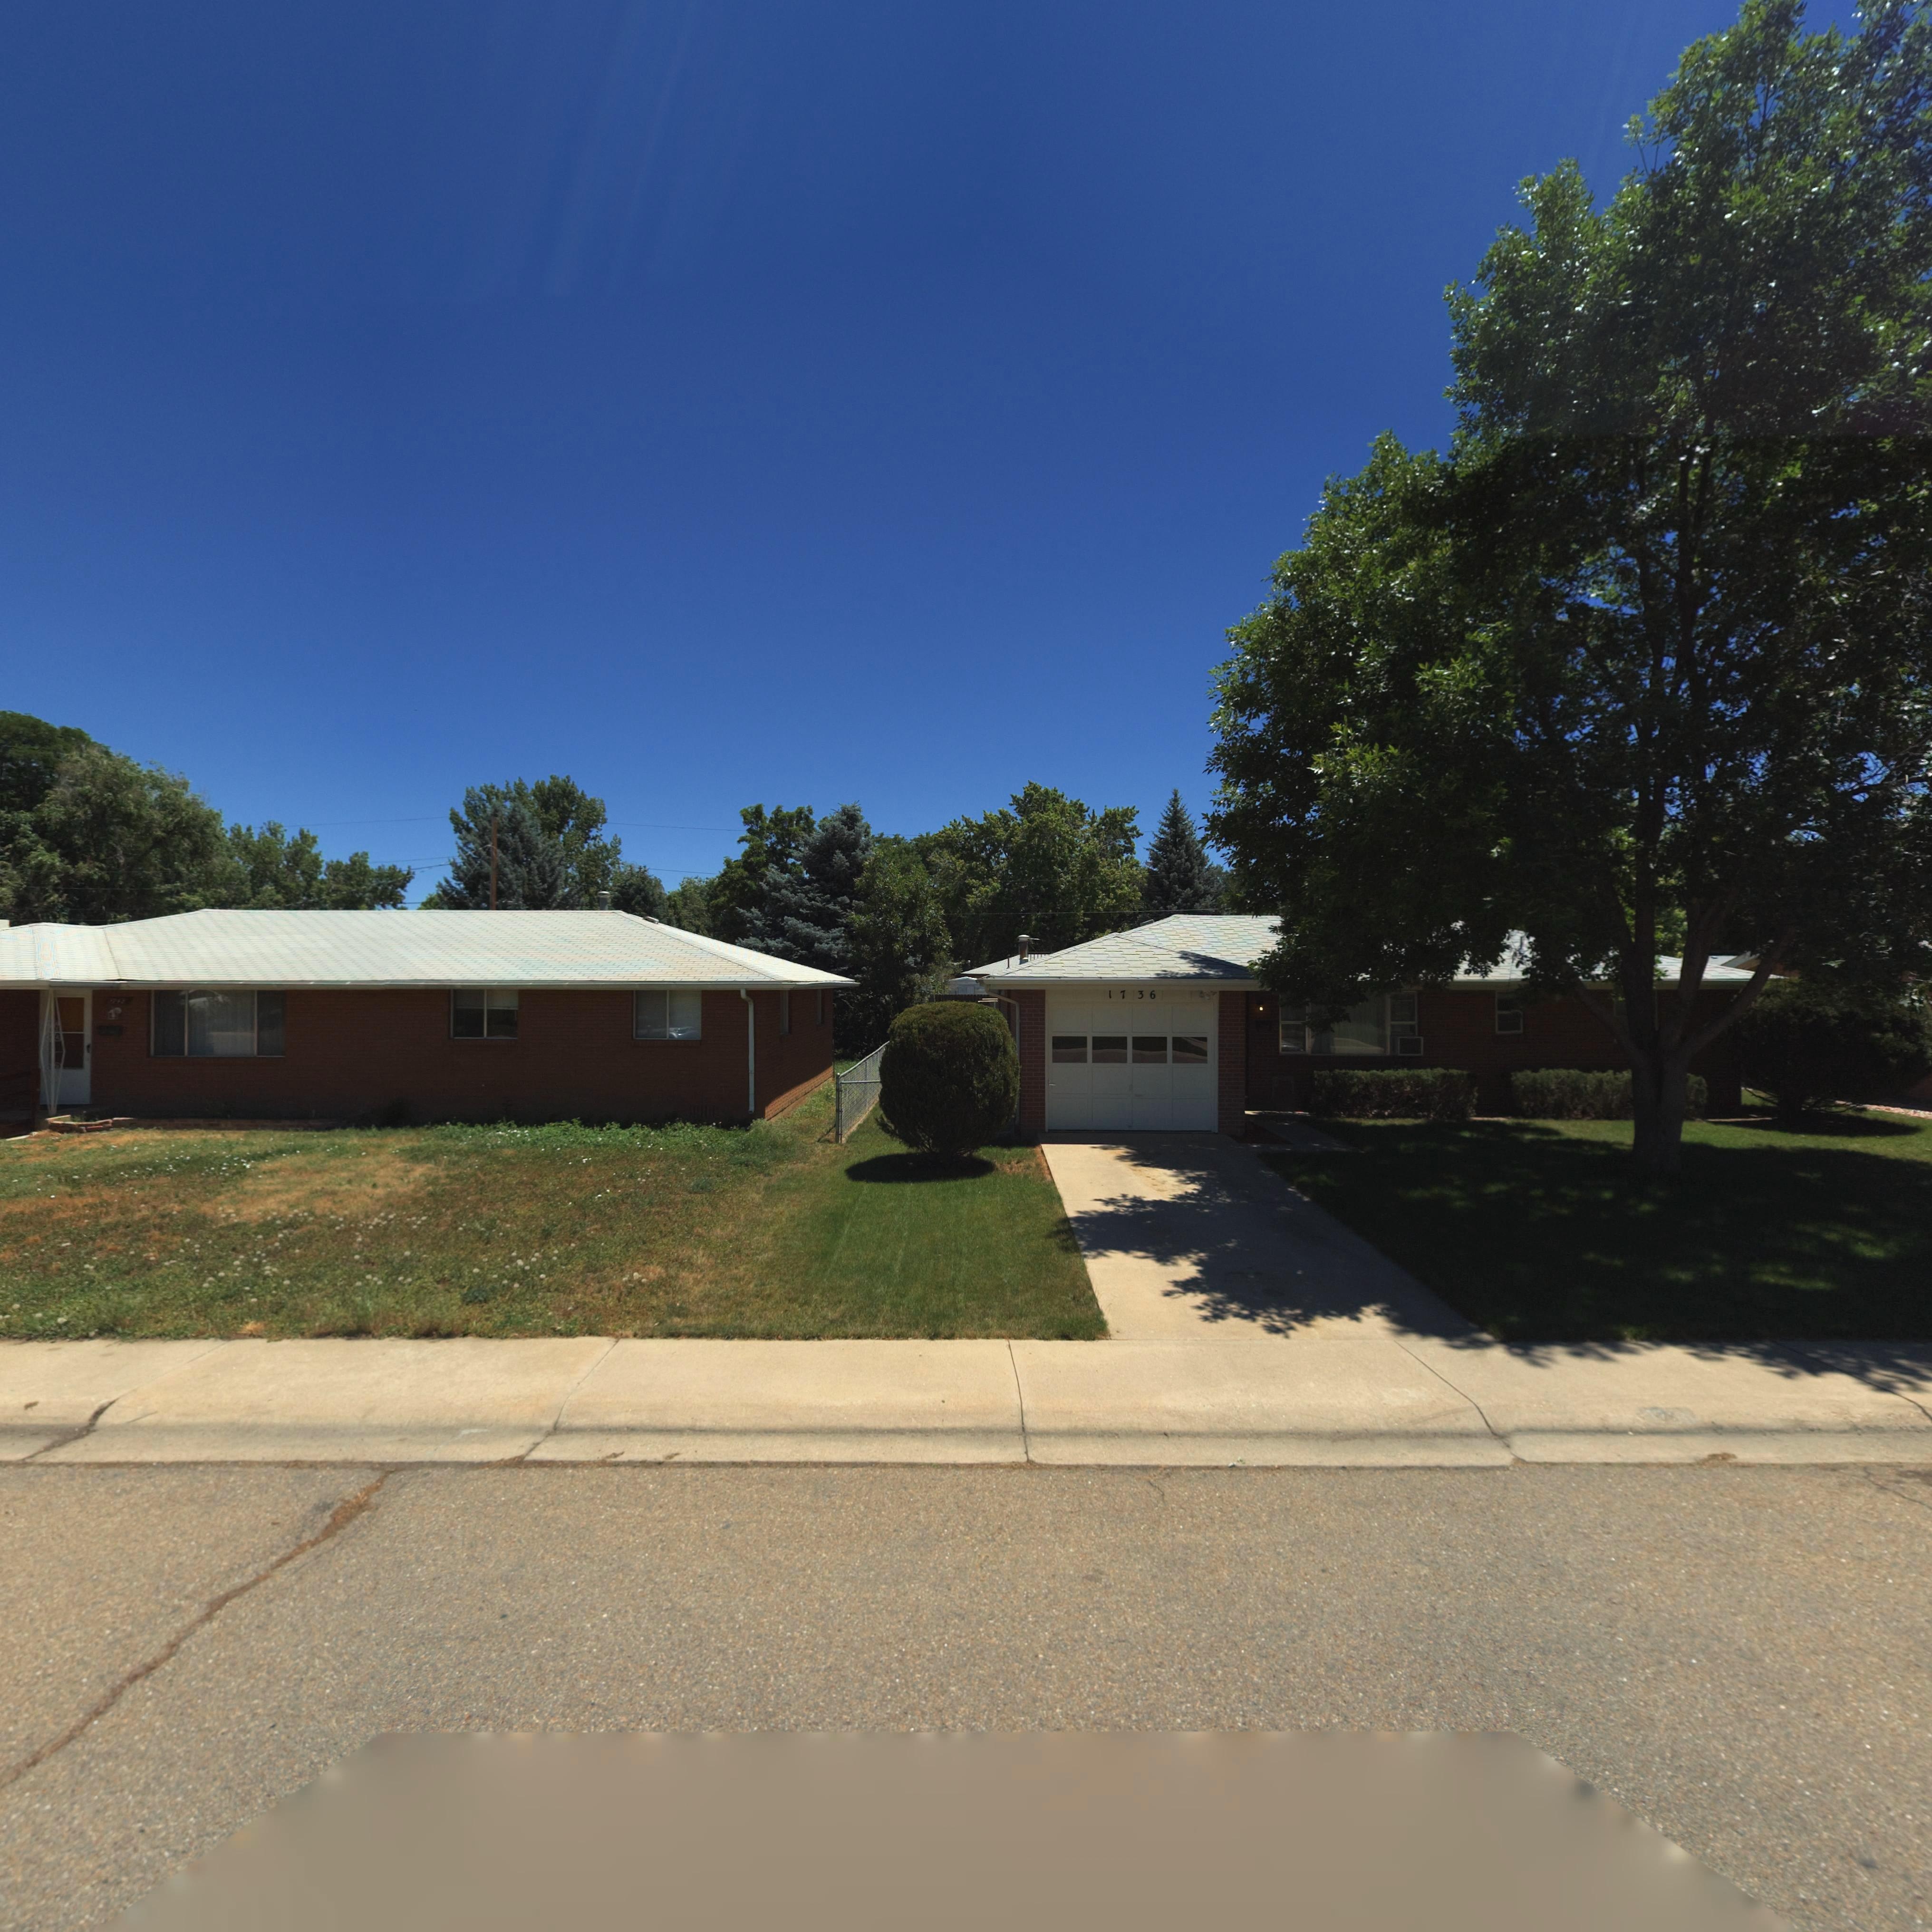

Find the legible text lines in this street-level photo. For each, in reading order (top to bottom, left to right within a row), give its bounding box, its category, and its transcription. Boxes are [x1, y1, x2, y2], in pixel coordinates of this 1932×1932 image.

[1108, 990, 1156, 999] StreetNumber: 1736